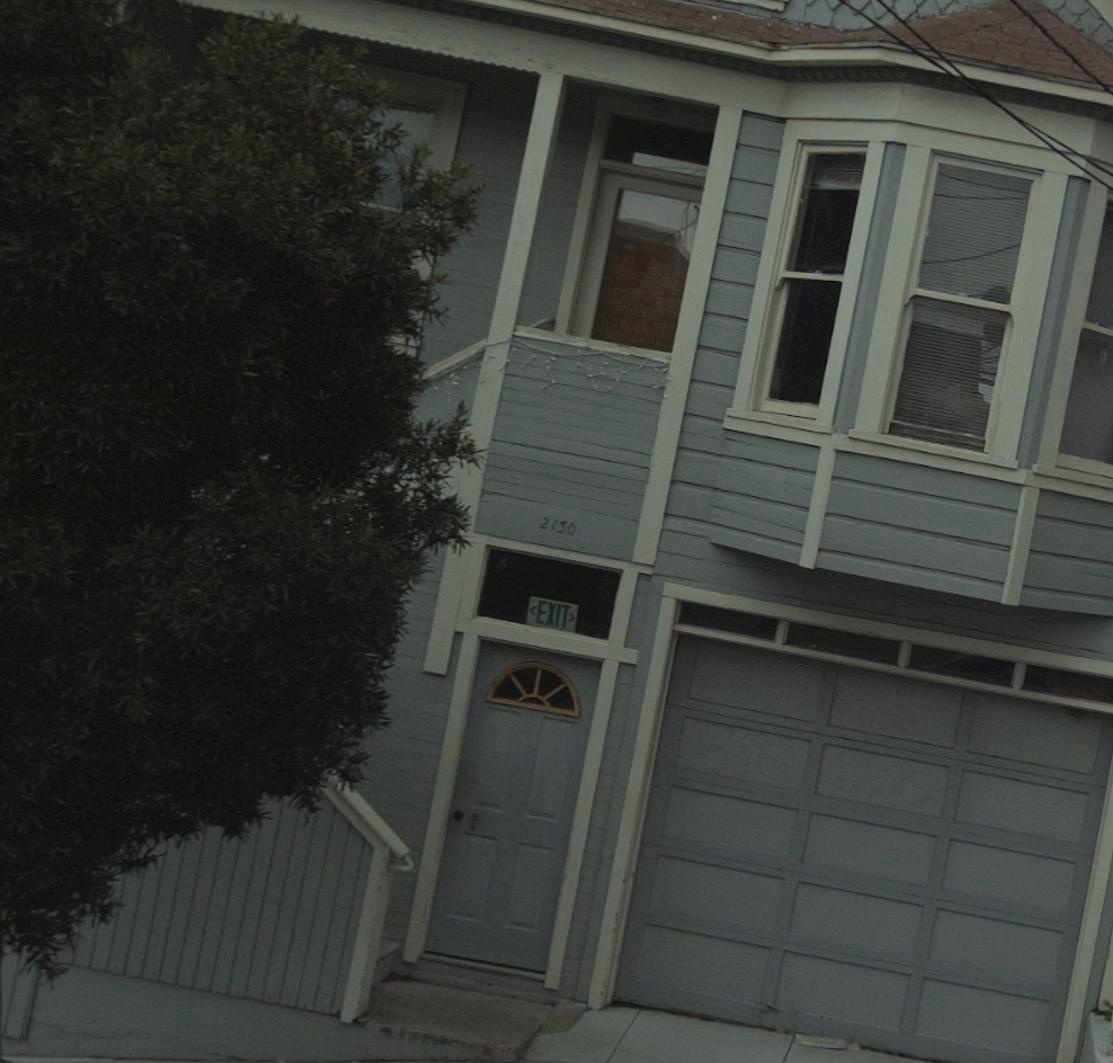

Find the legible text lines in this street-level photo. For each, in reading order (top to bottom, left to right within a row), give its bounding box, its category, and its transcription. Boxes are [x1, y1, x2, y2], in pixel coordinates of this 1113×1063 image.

[538, 515, 578, 537] StreetNumber: 2130
[534, 599, 573, 630] None: EXIT